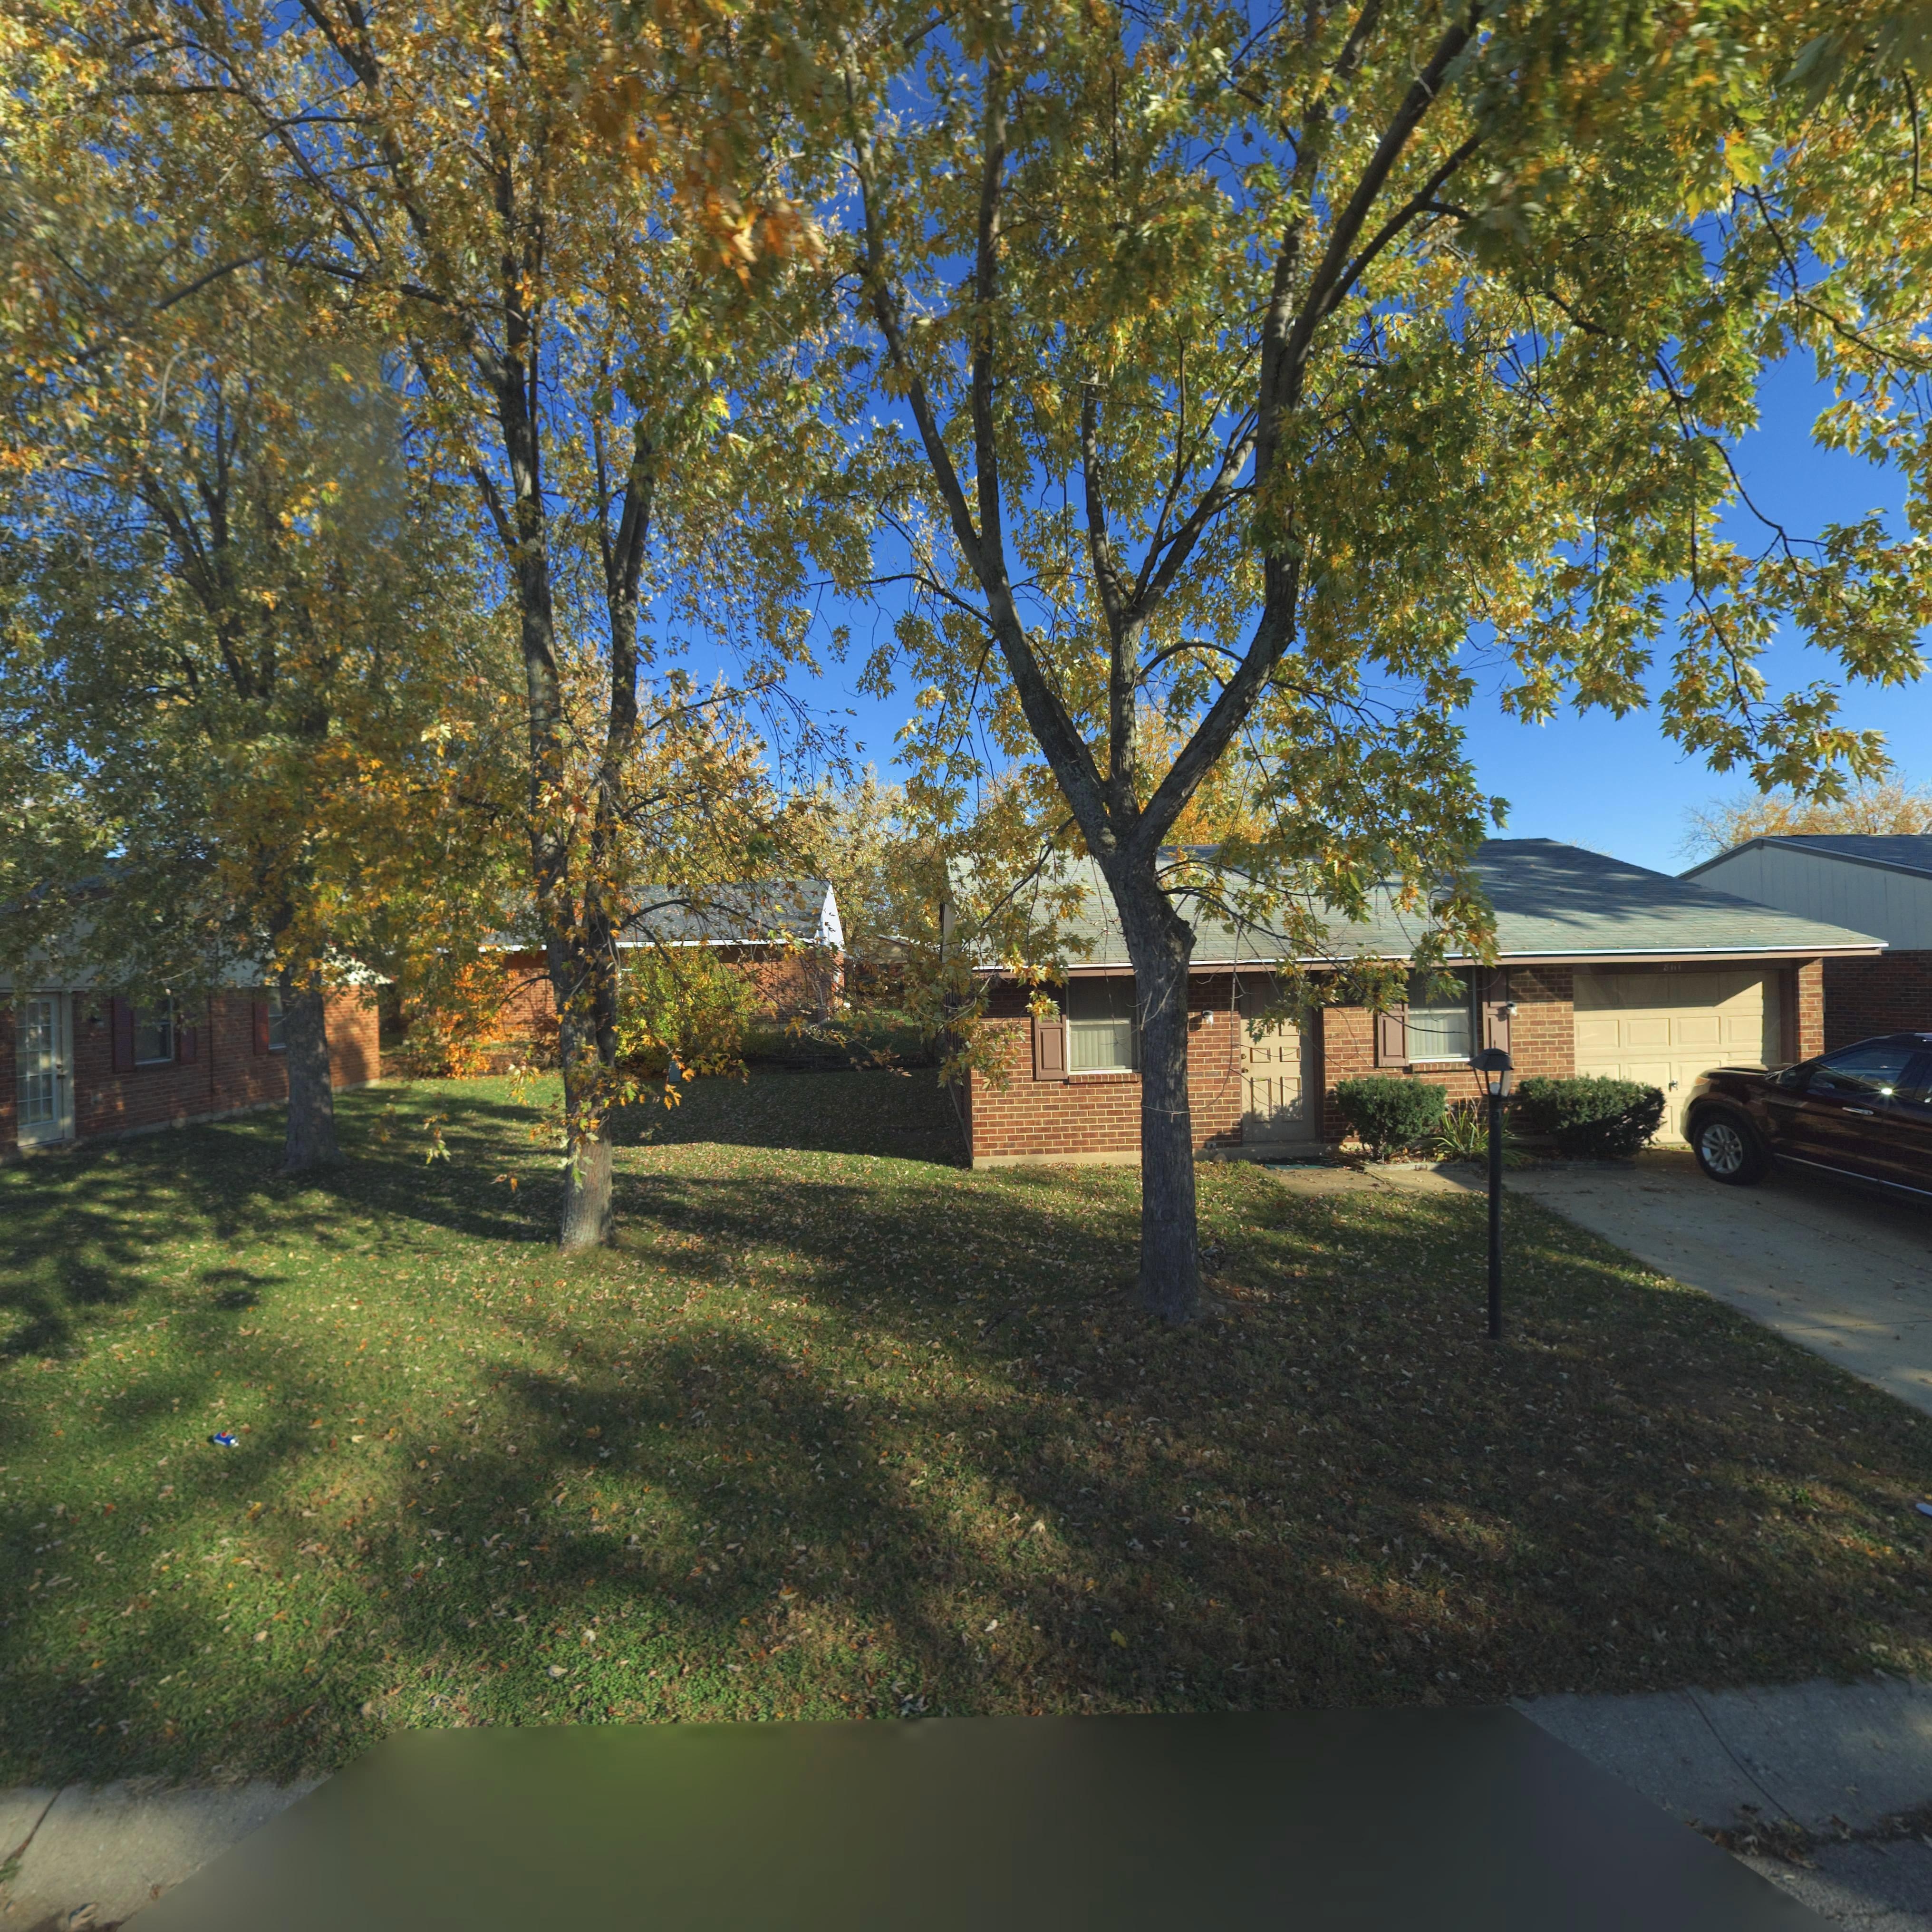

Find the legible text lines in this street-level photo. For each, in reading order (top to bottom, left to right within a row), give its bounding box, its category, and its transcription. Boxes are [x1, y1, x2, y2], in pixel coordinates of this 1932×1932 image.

[1662, 962, 1682, 972] StreetNumber: 8***